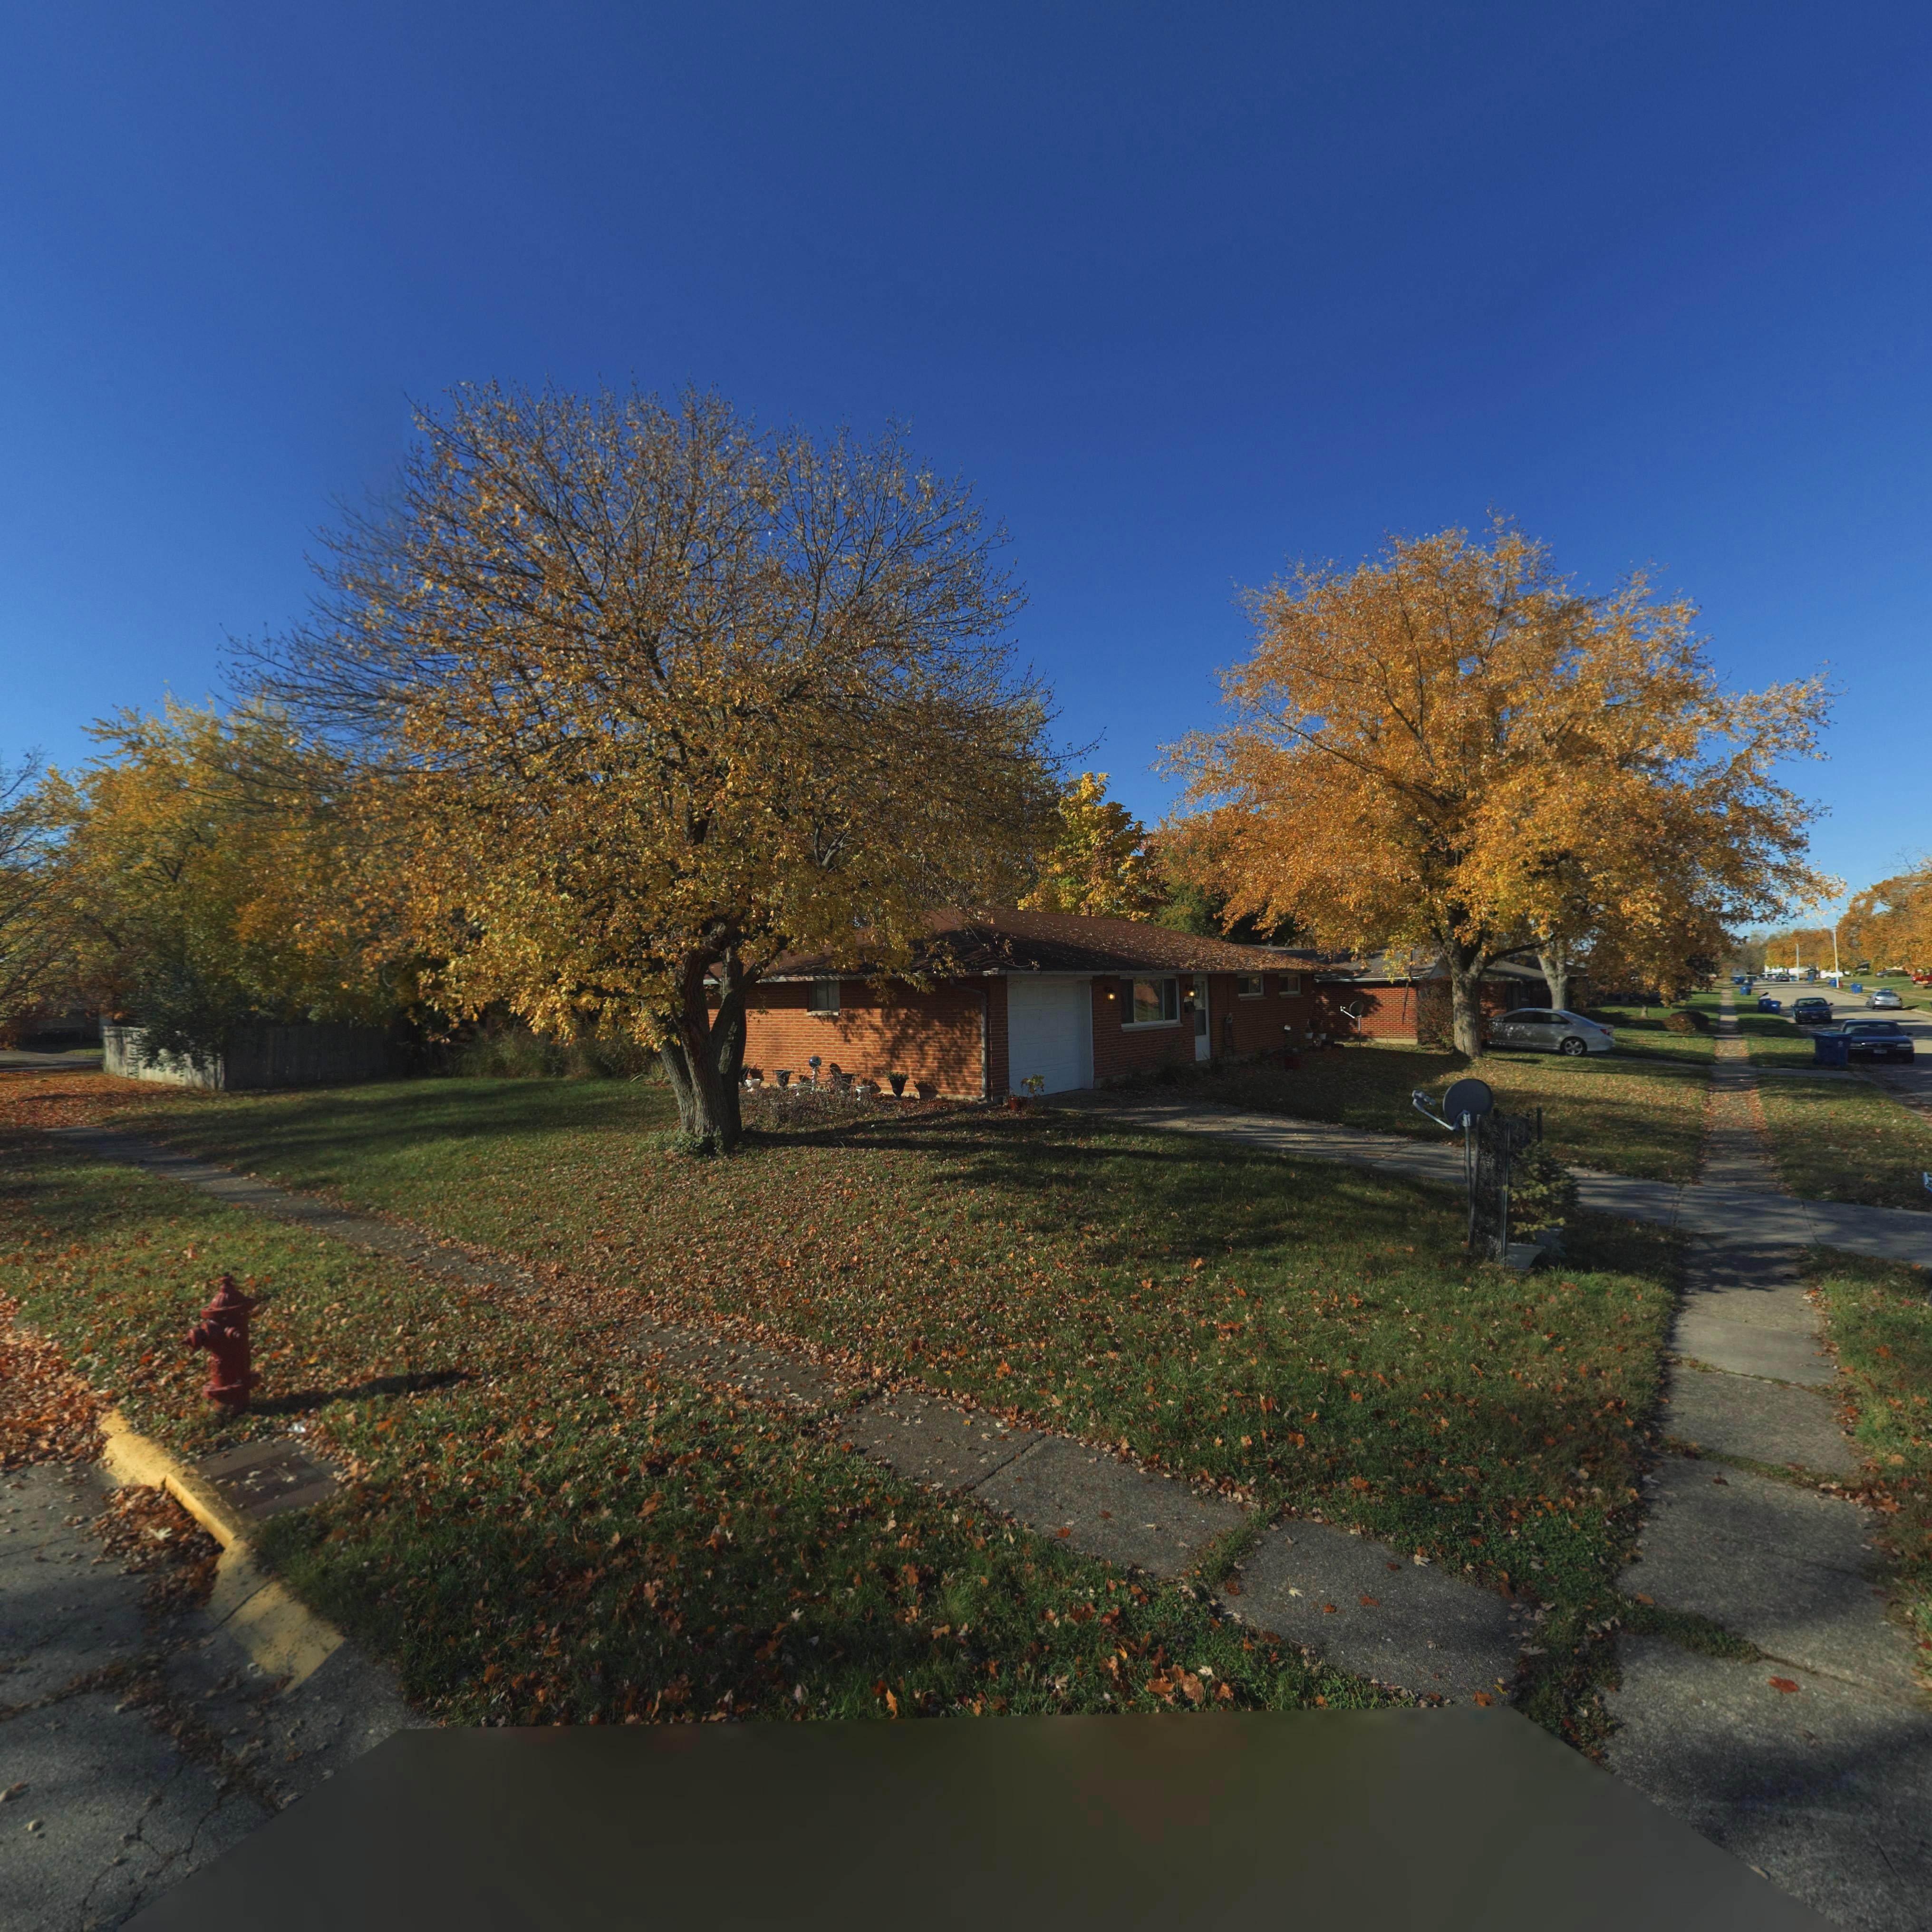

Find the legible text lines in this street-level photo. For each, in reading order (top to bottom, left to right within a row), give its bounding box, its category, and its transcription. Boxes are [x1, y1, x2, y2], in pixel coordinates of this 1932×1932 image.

[1184, 997, 1188, 1002] StreetNumber: 7